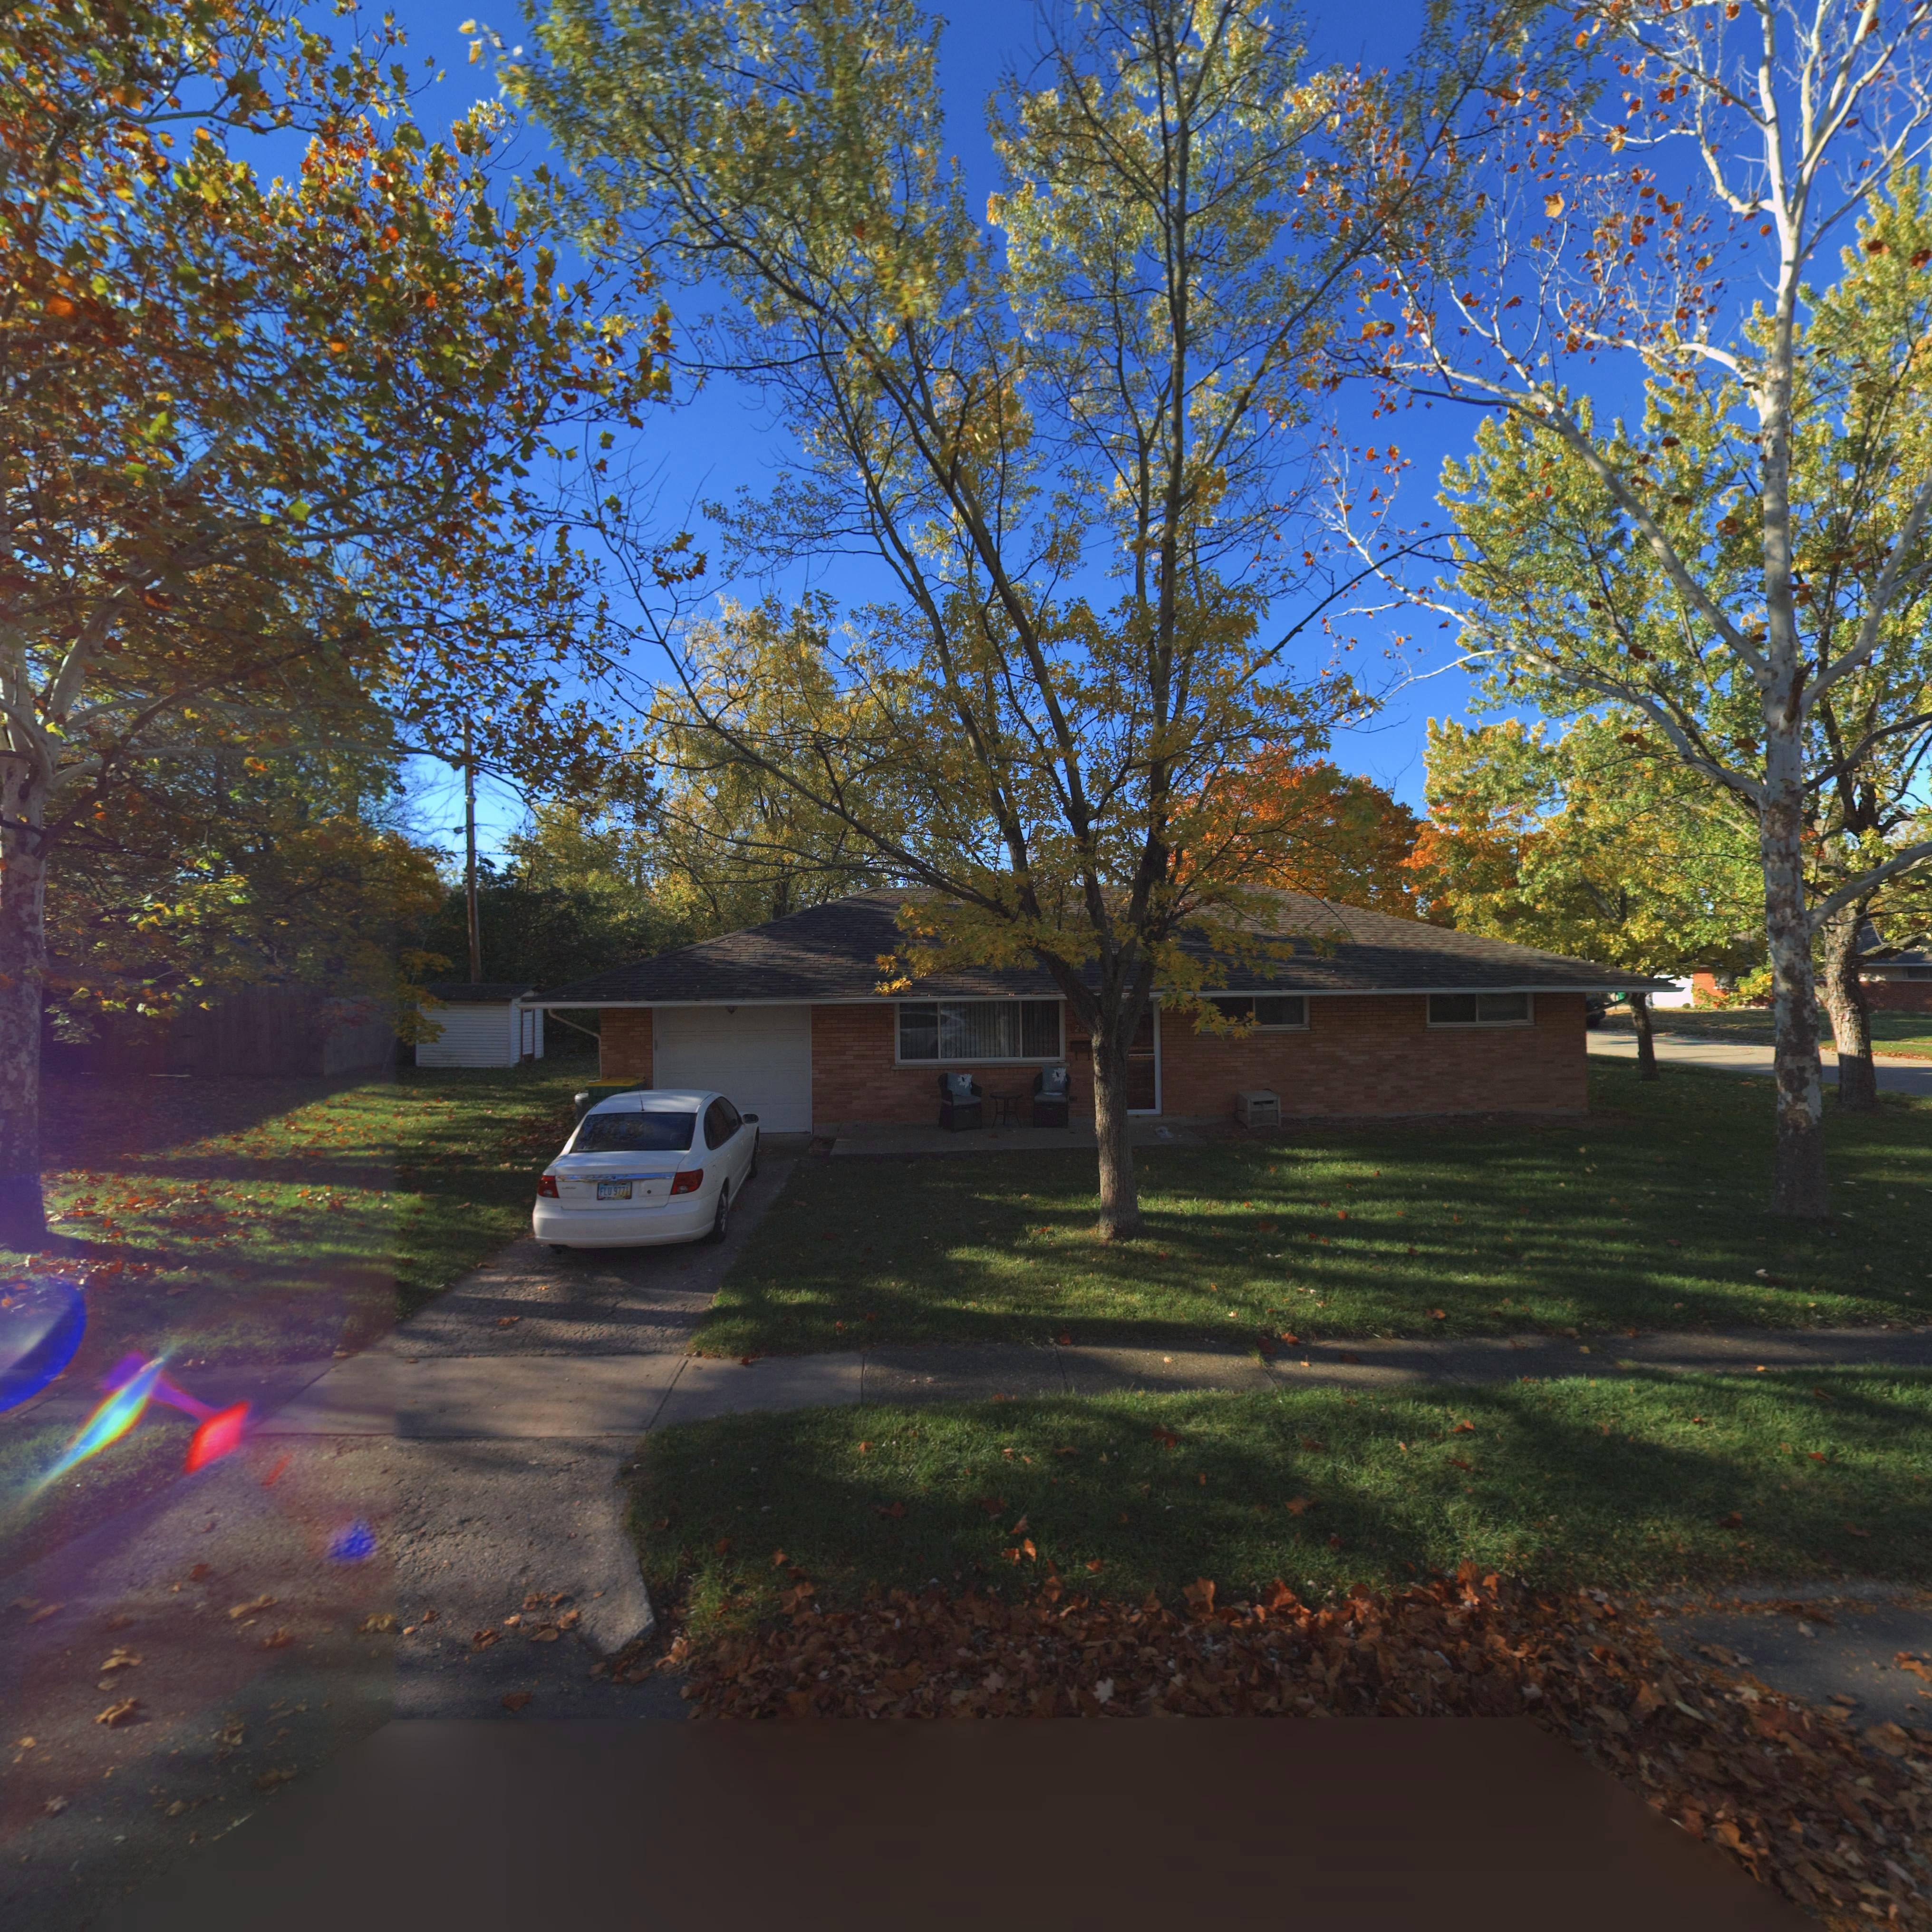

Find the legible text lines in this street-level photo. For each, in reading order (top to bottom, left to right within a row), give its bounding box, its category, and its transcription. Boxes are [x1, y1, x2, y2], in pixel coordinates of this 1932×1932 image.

[1073, 1024, 1080, 1032] StreetNumber: 2